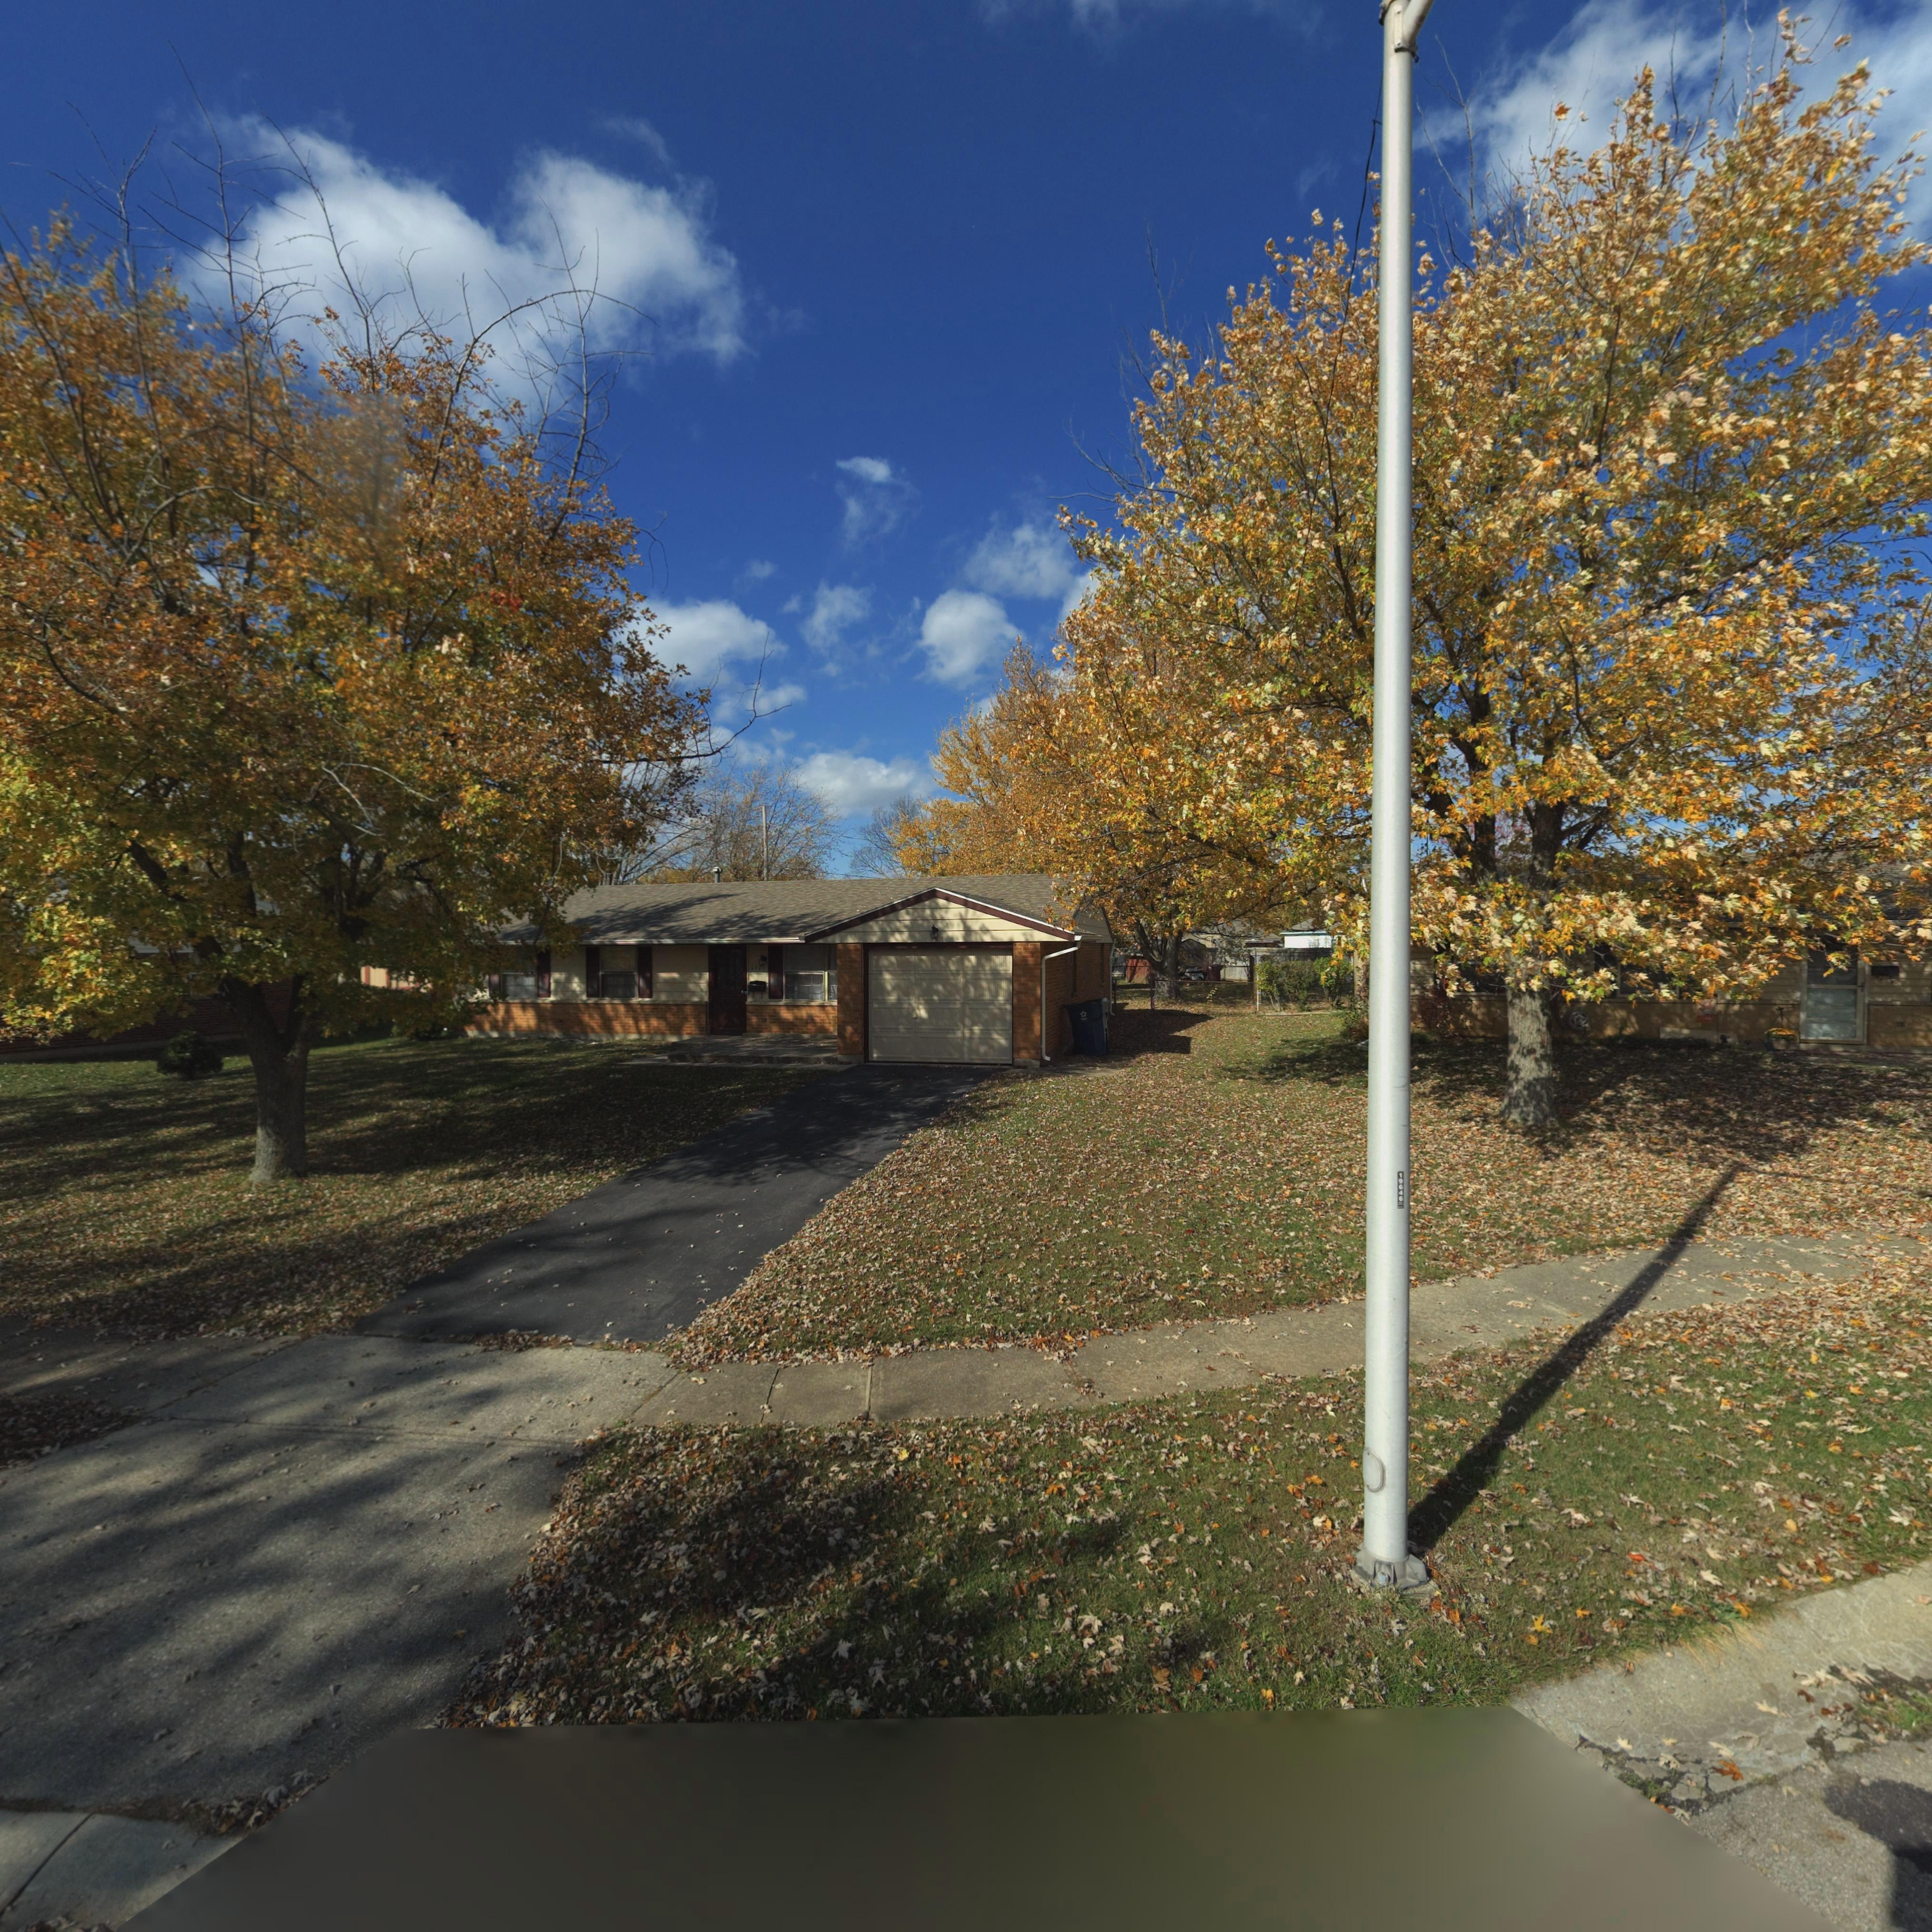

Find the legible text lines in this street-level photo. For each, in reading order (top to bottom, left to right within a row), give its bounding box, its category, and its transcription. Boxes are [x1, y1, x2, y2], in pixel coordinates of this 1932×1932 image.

[750, 965, 765, 970] StreetNumber: 67*1